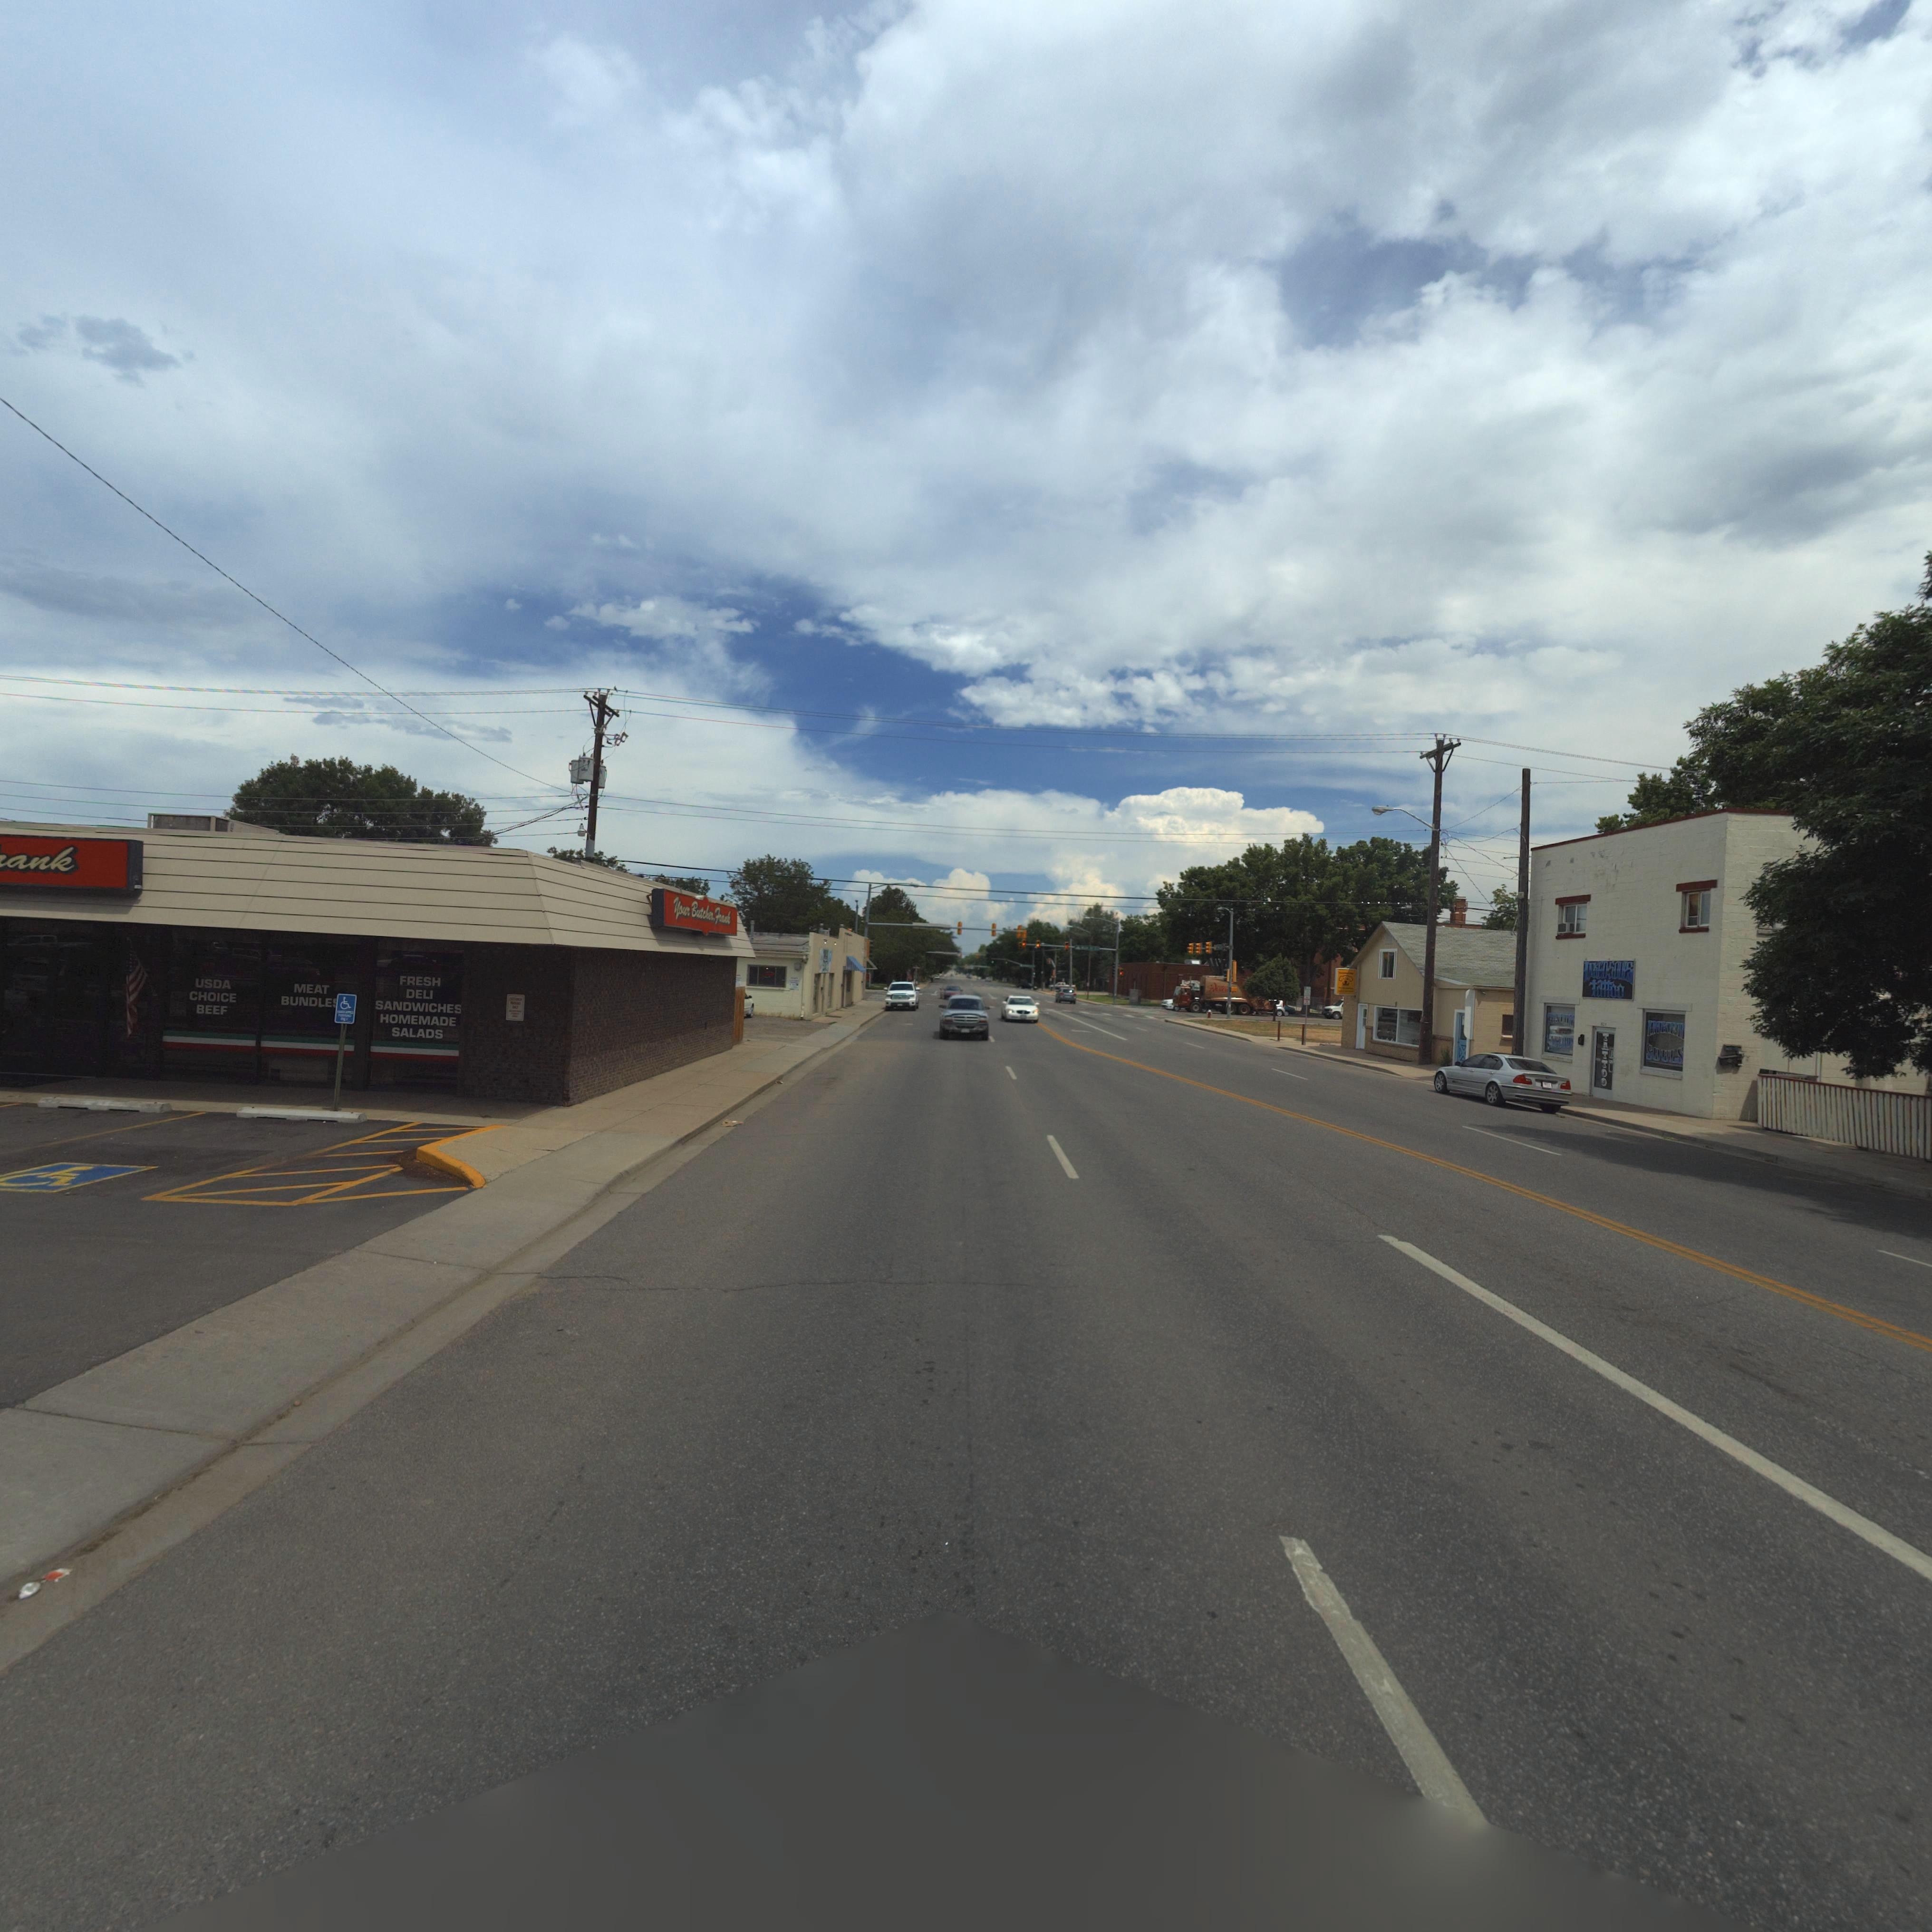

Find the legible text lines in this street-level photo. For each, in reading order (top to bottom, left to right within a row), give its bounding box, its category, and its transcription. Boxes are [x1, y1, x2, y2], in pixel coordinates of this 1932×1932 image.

[5, 844, 75, 872] BusinessName: ank
[673, 896, 731, 925] BusinessName: Your Butcher, Frank
[1583, 961, 1633, 985] BusinessName: INKEDSOULS
[1588, 979, 1624, 997] BusinessName: Tattoo
[1647, 1020, 1685, 1039] BusinessName: INKED
[1646, 1043, 1683, 1063] BusinessName: SOULS